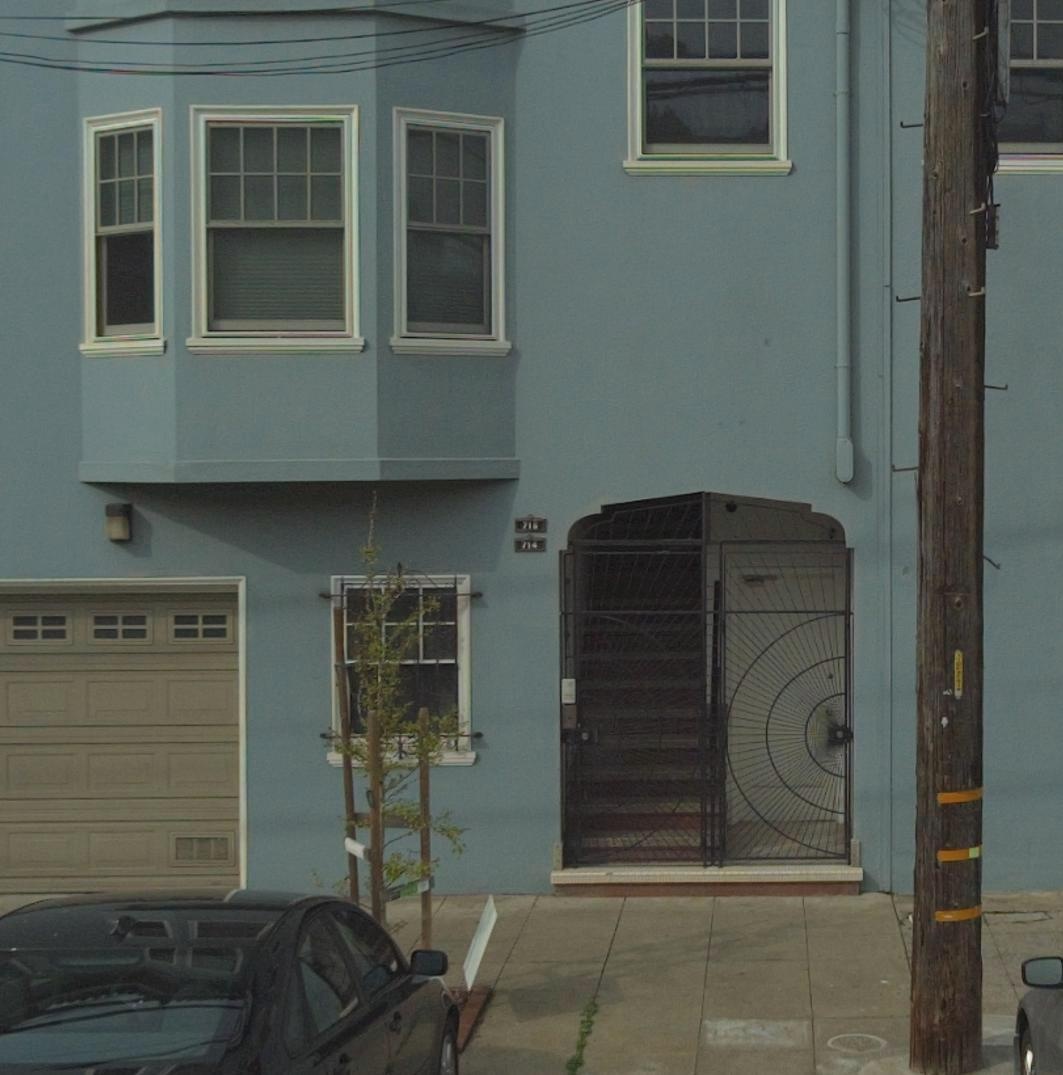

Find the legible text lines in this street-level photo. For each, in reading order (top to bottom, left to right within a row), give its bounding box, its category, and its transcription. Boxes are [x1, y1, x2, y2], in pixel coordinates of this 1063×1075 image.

[521, 521, 540, 531] StreetNumber: 716
[521, 540, 539, 550] StreetNumber: 714